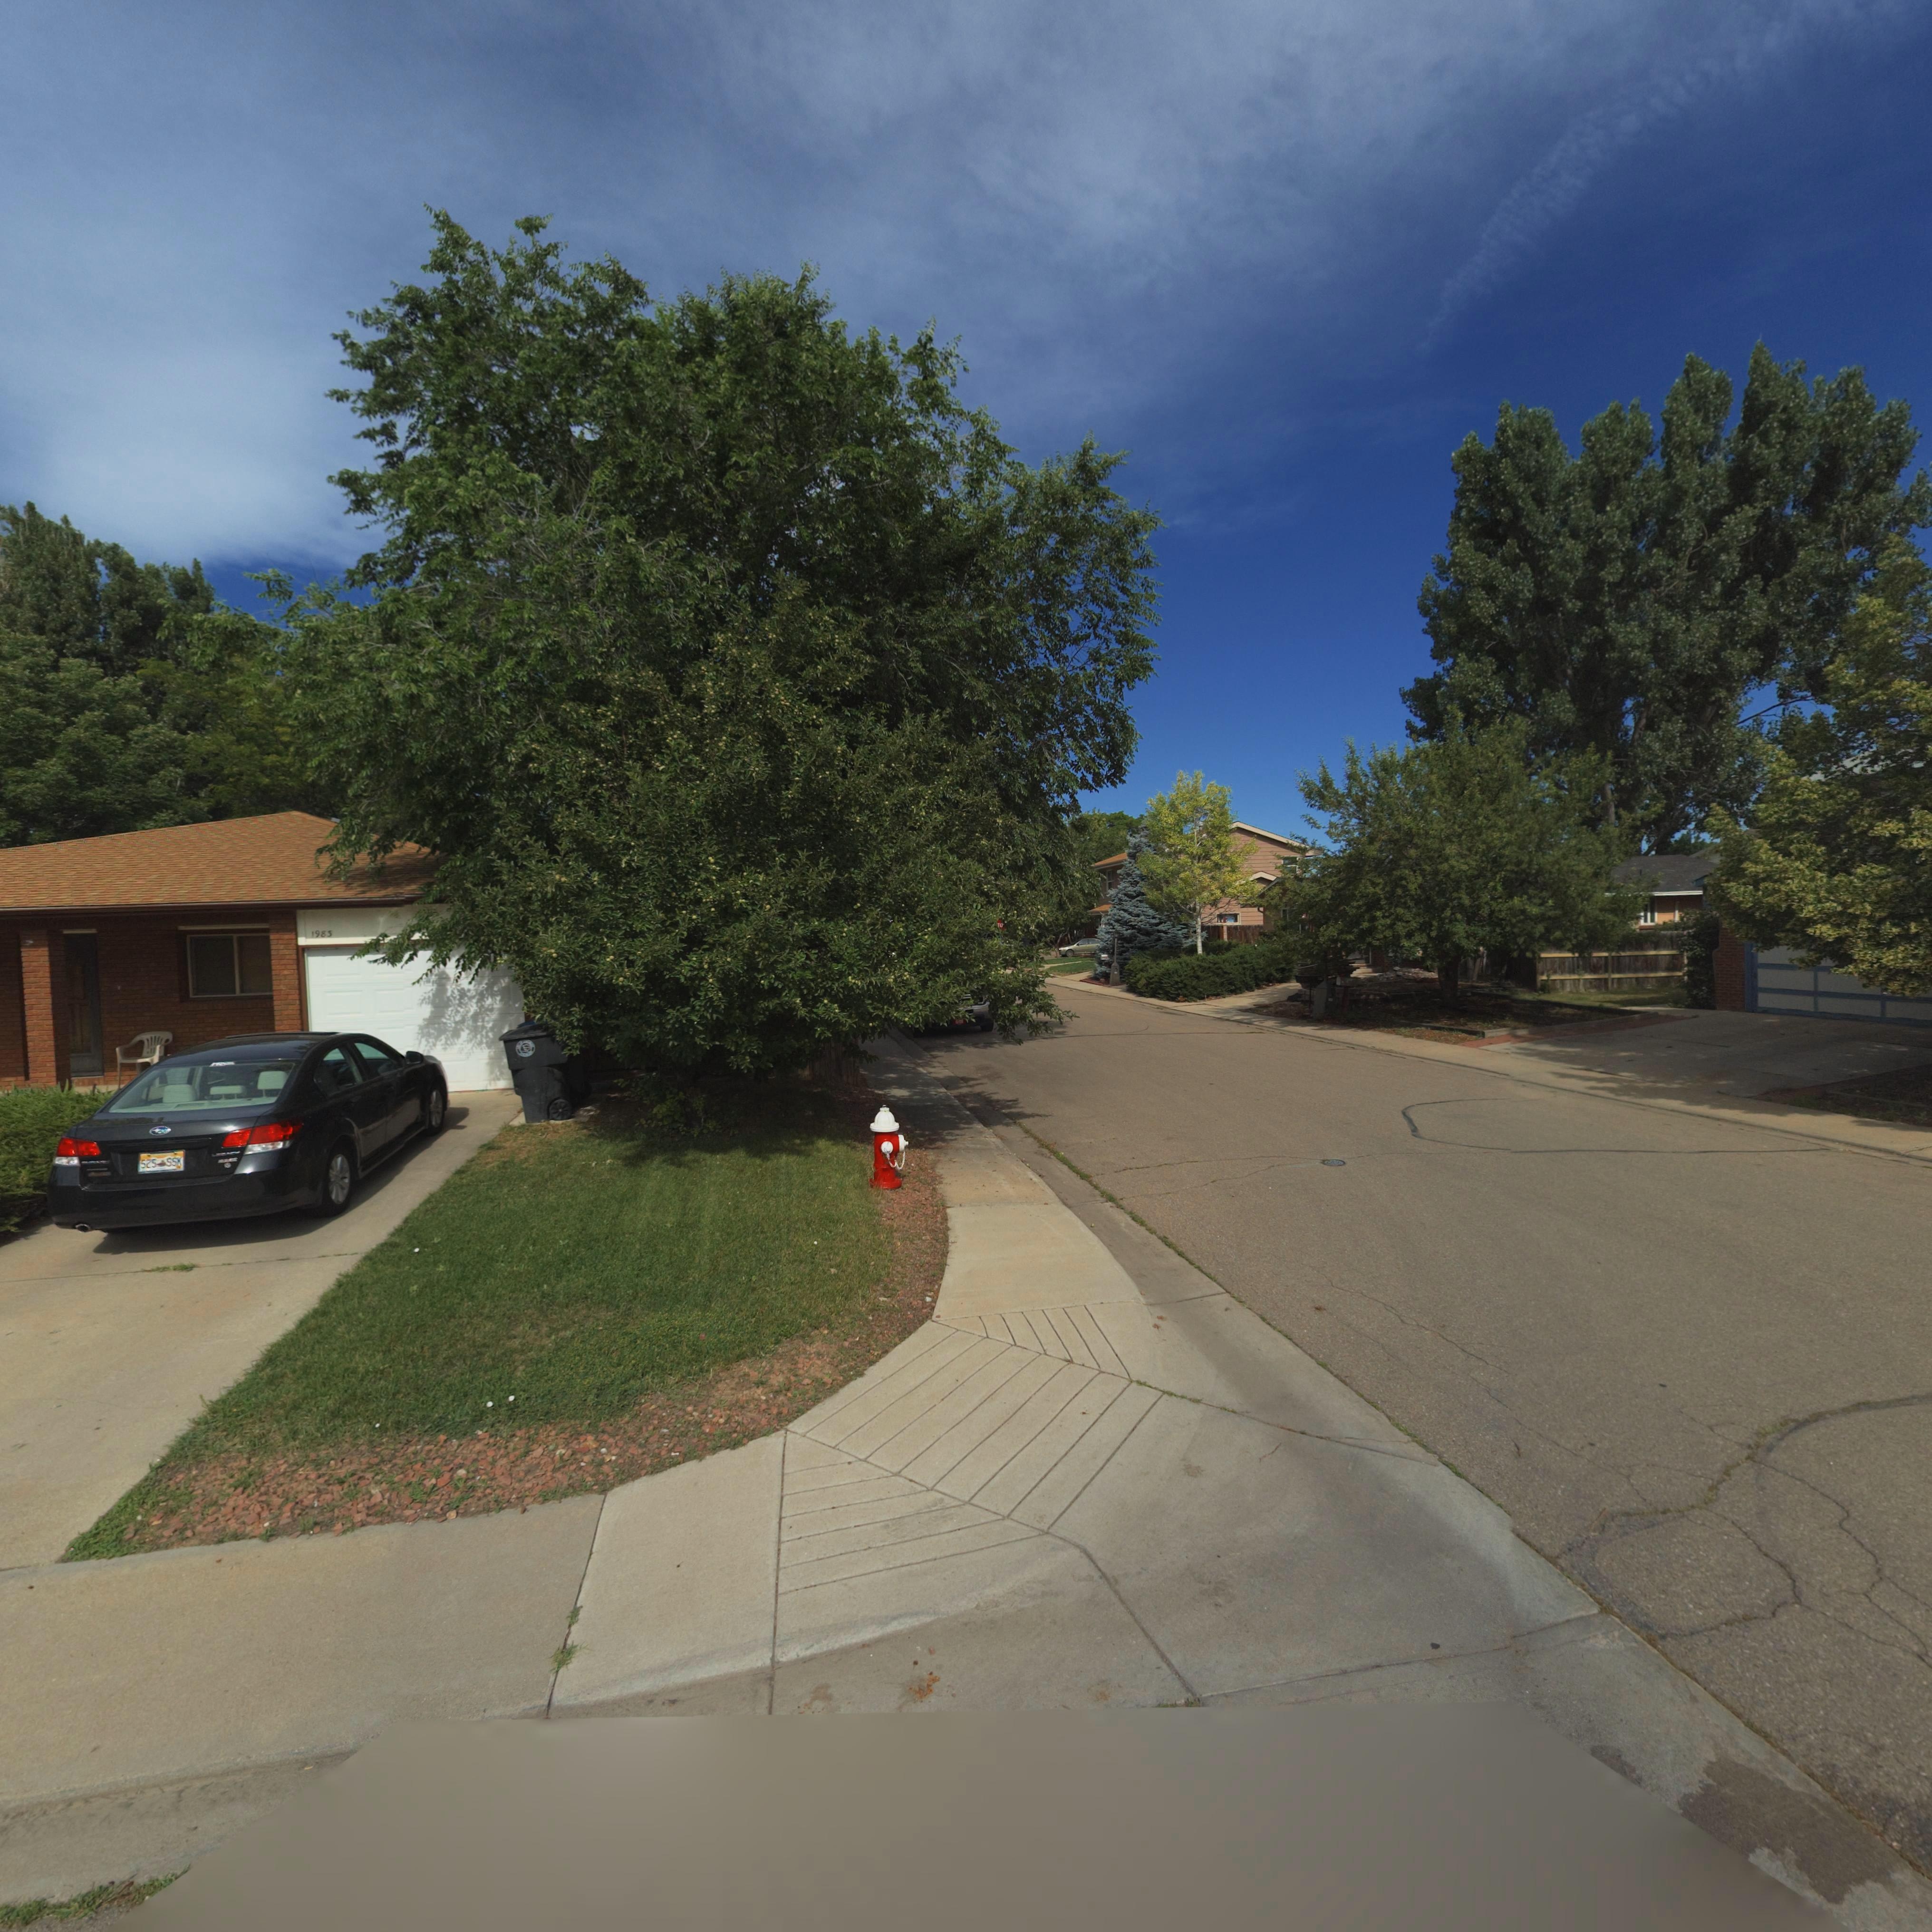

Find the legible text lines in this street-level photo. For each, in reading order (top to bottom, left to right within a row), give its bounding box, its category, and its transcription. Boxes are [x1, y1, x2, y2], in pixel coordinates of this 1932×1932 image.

[311, 929, 332, 938] StreetNumber: 1983